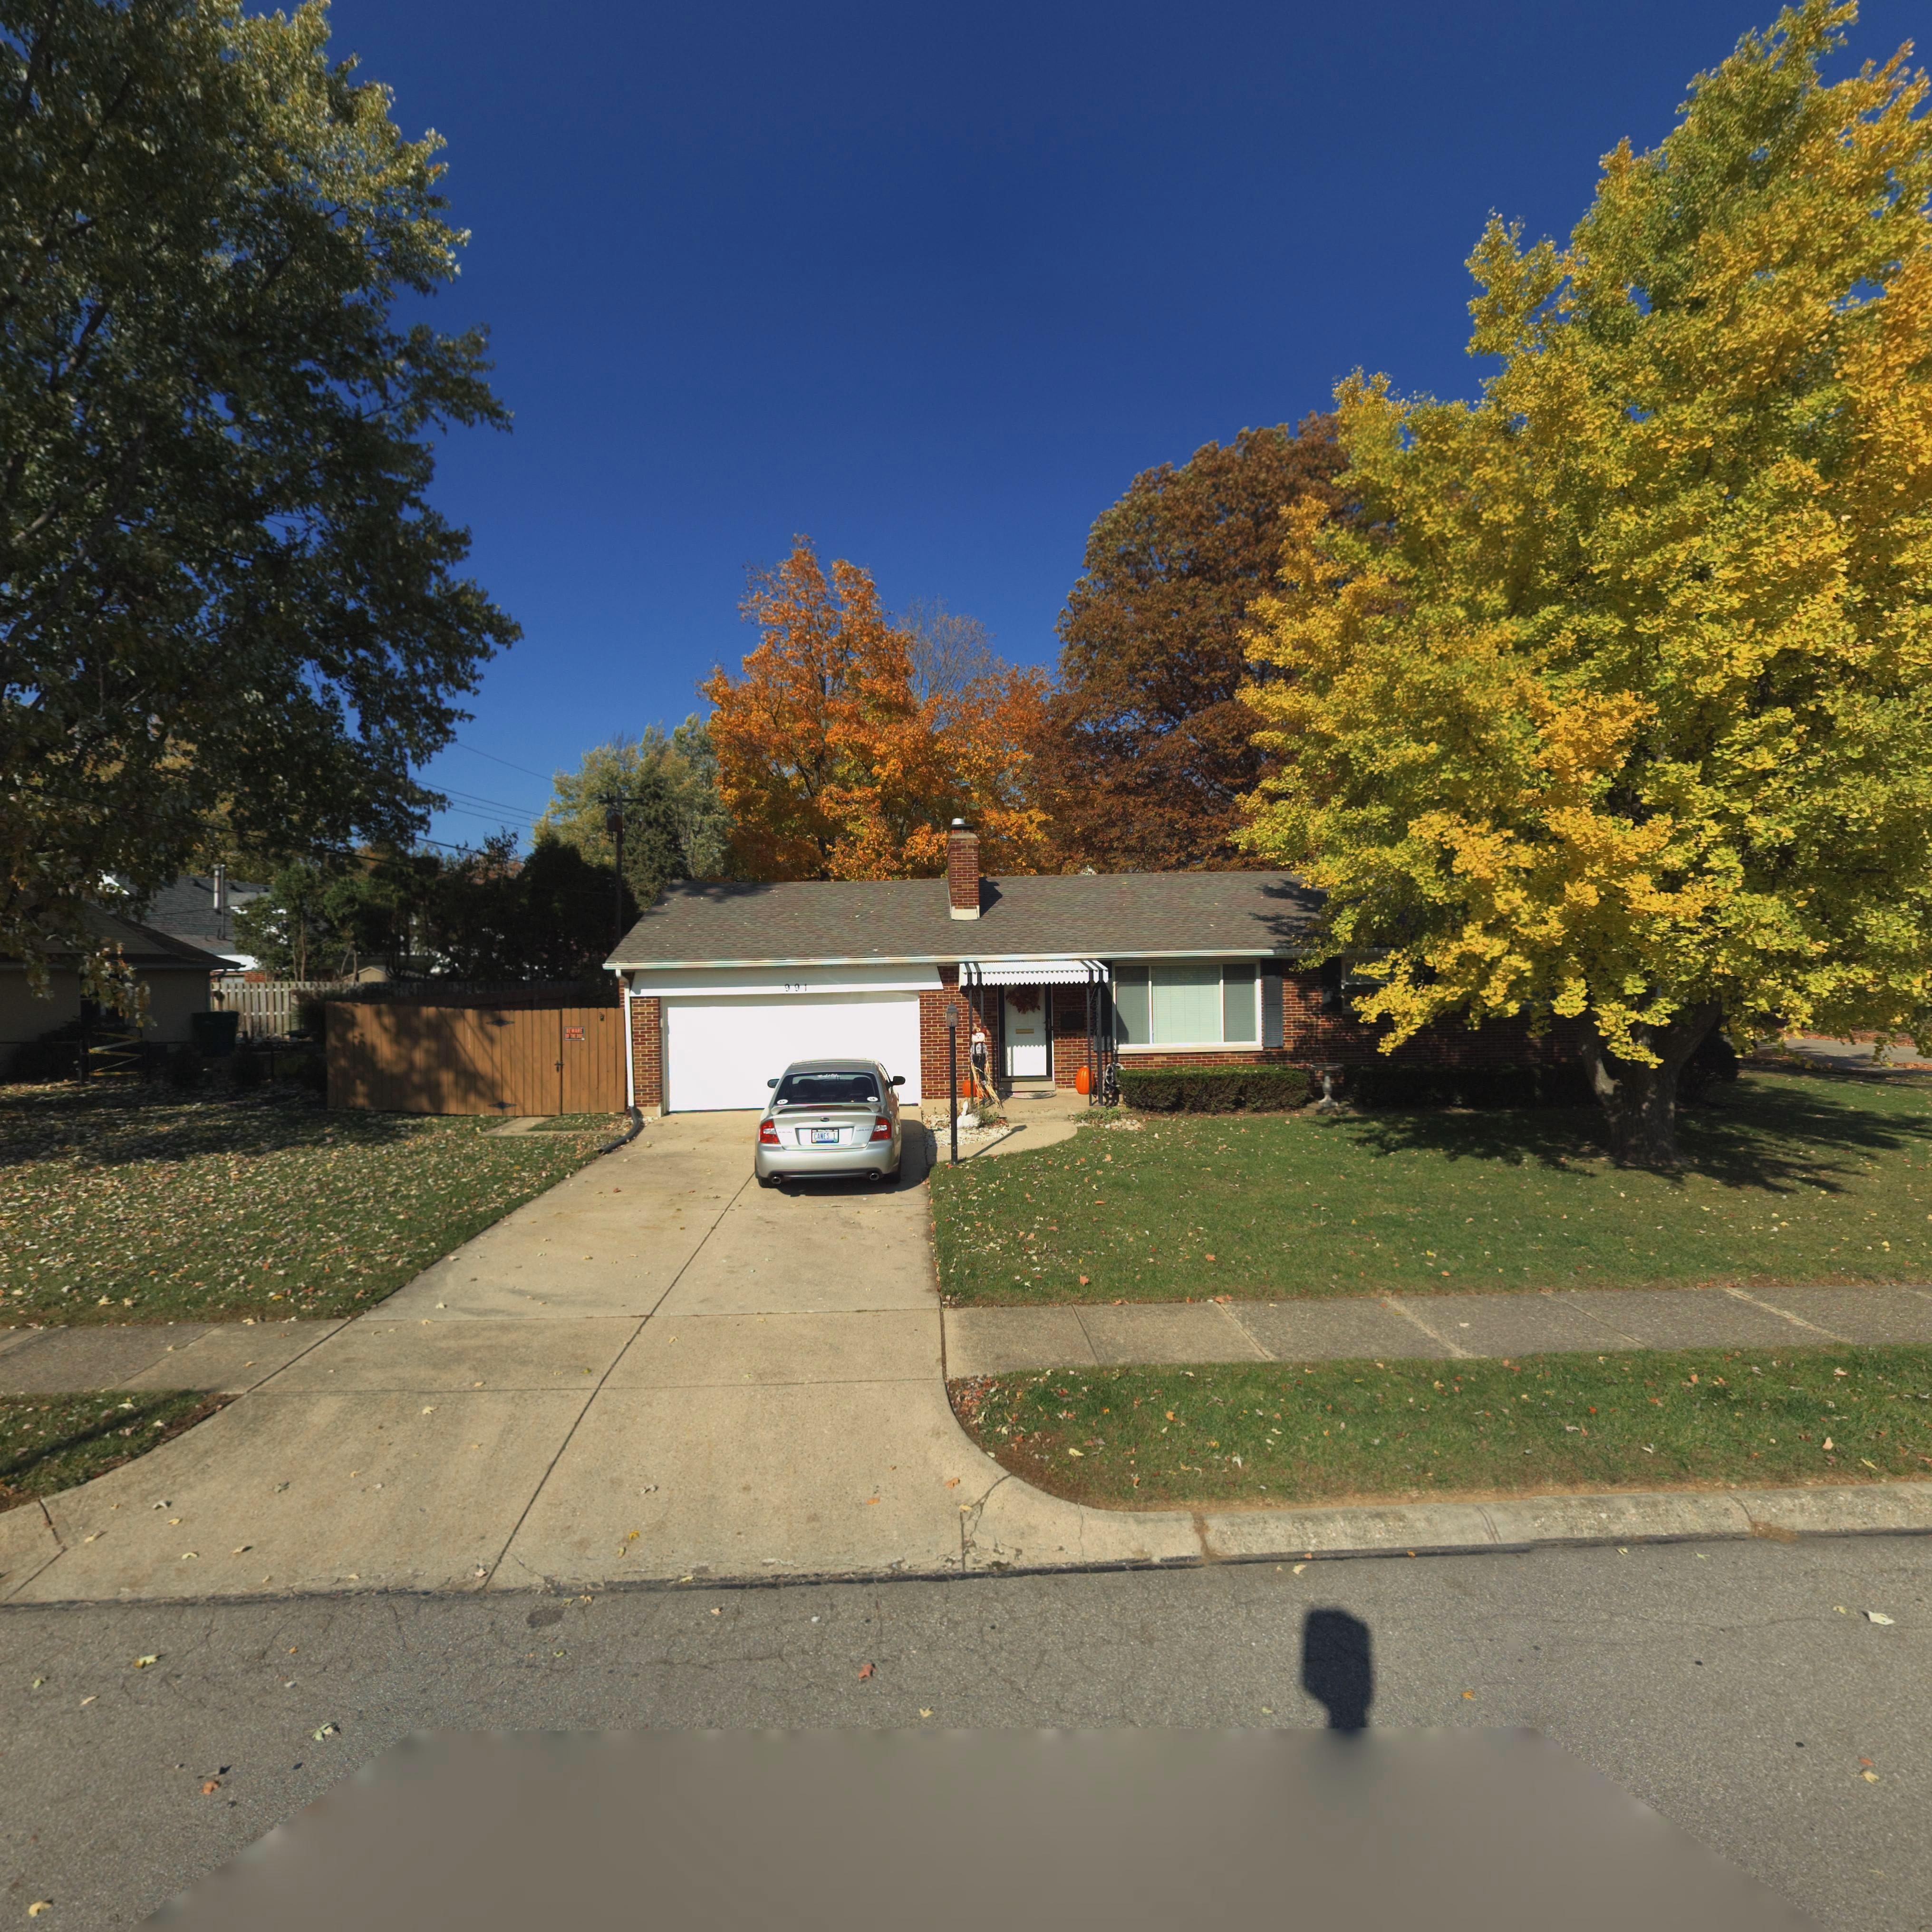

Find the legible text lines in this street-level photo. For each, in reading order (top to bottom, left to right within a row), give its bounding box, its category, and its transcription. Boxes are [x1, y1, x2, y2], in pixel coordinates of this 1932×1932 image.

[784, 983, 807, 993] StreetNumber: 991
[813, 1132, 836, 1140] None: CANES 1